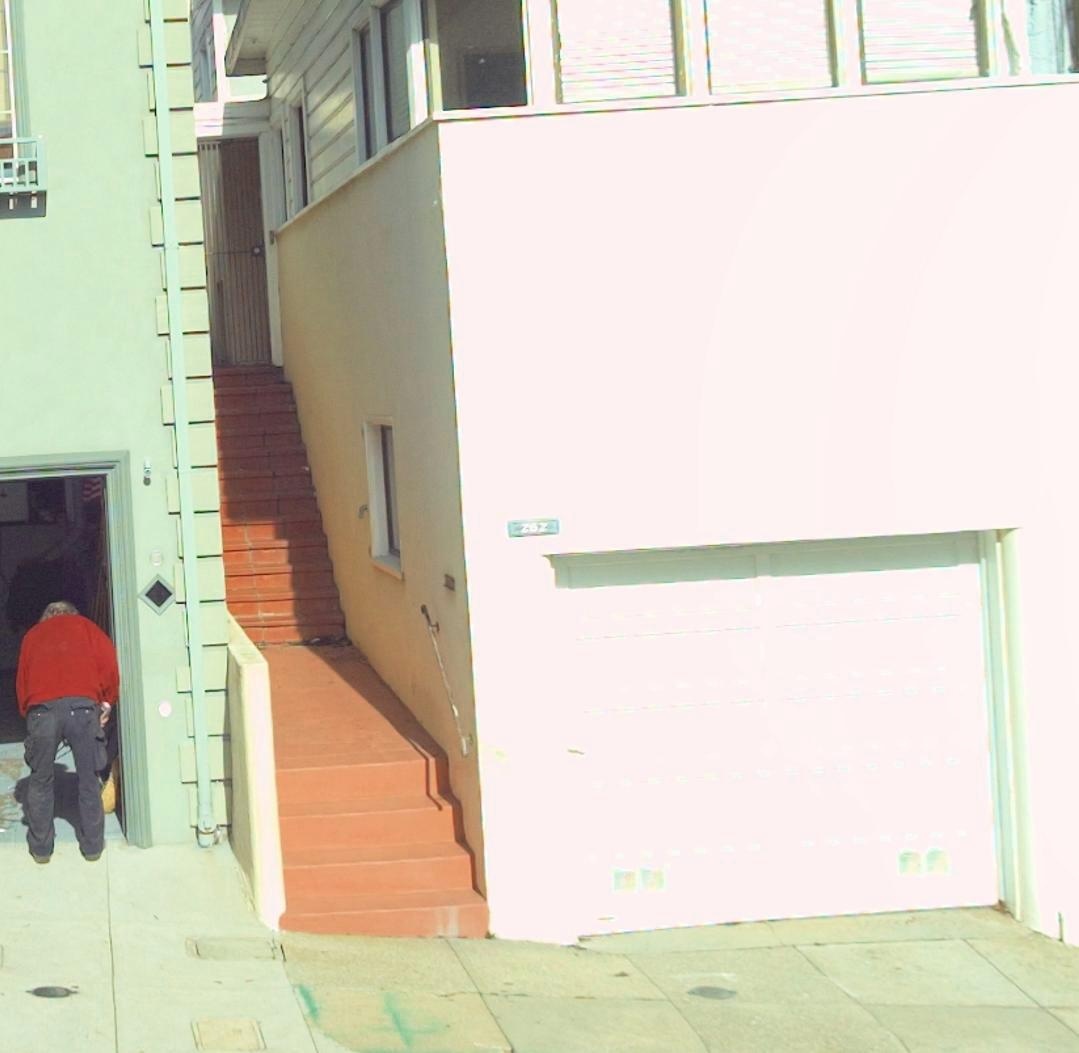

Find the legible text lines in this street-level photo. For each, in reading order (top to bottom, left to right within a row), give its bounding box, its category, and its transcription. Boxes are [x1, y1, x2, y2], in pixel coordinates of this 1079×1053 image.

[519, 522, 550, 533] StreetNumber: 262